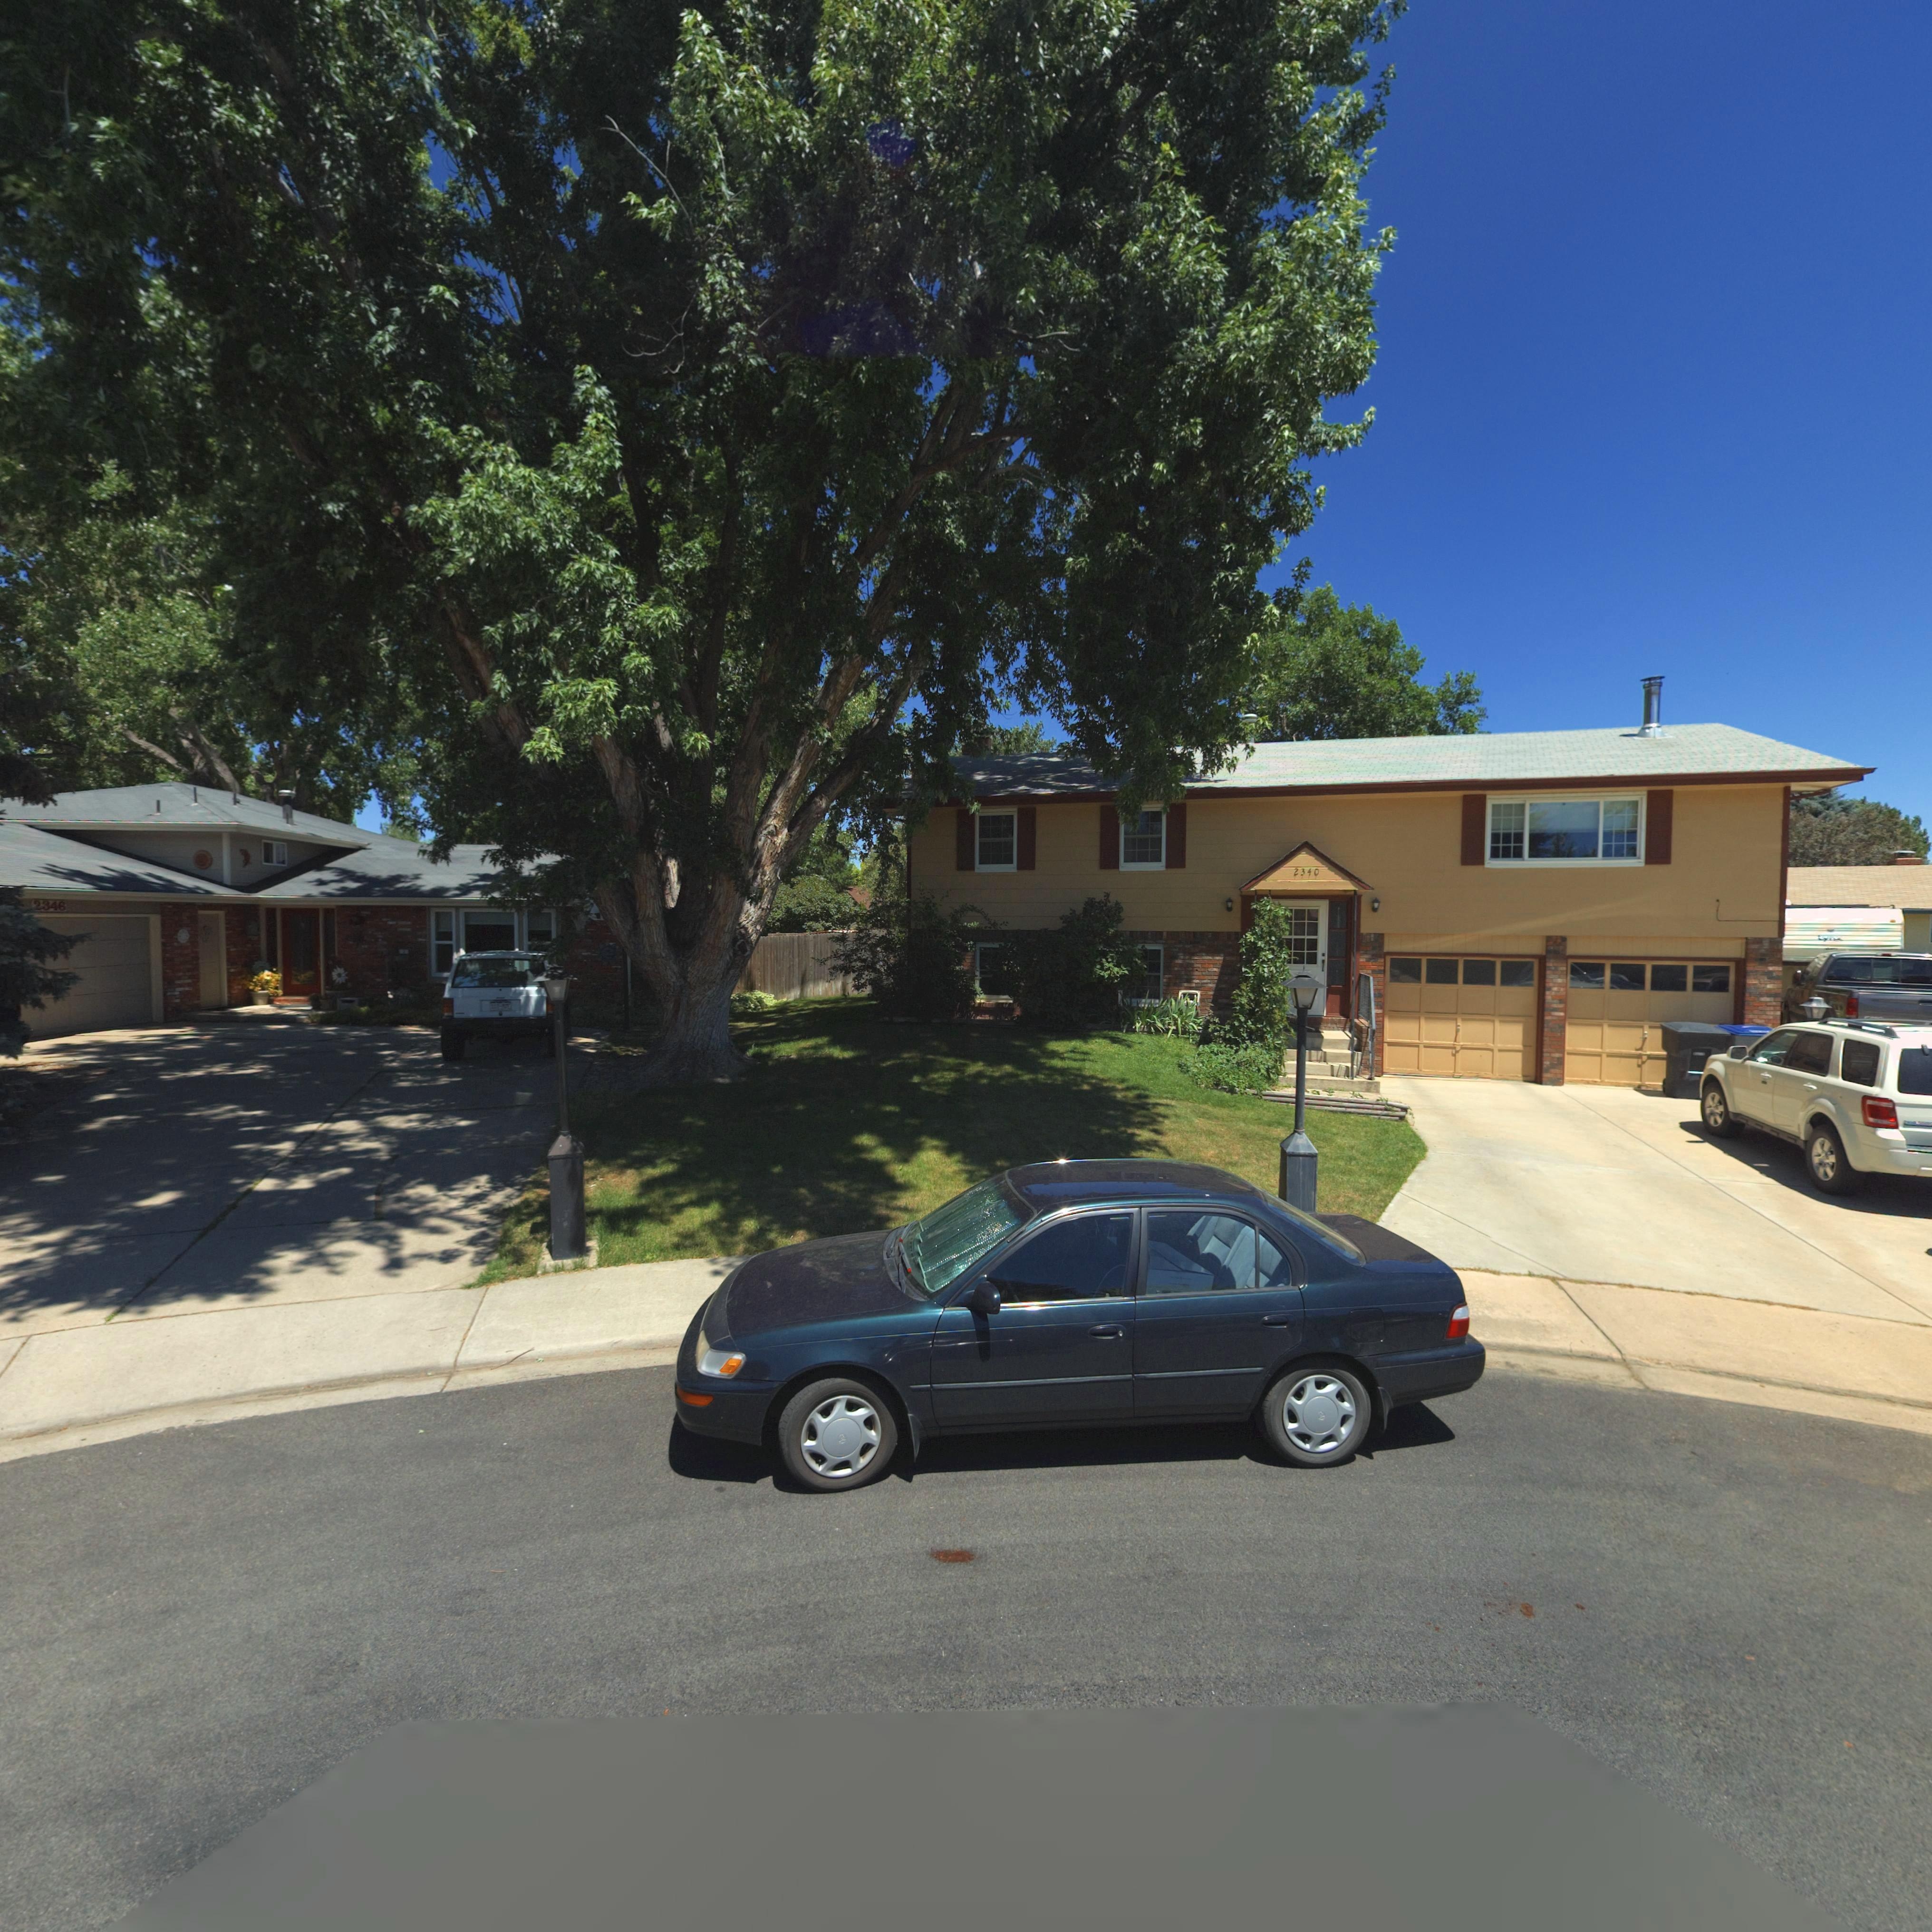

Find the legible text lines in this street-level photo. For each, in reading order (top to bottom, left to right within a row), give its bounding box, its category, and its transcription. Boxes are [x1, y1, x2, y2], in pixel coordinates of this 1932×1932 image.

[1294, 867, 1320, 876] StreetNumber: 2340
[33, 899, 66, 911] StreetNumber: 2346